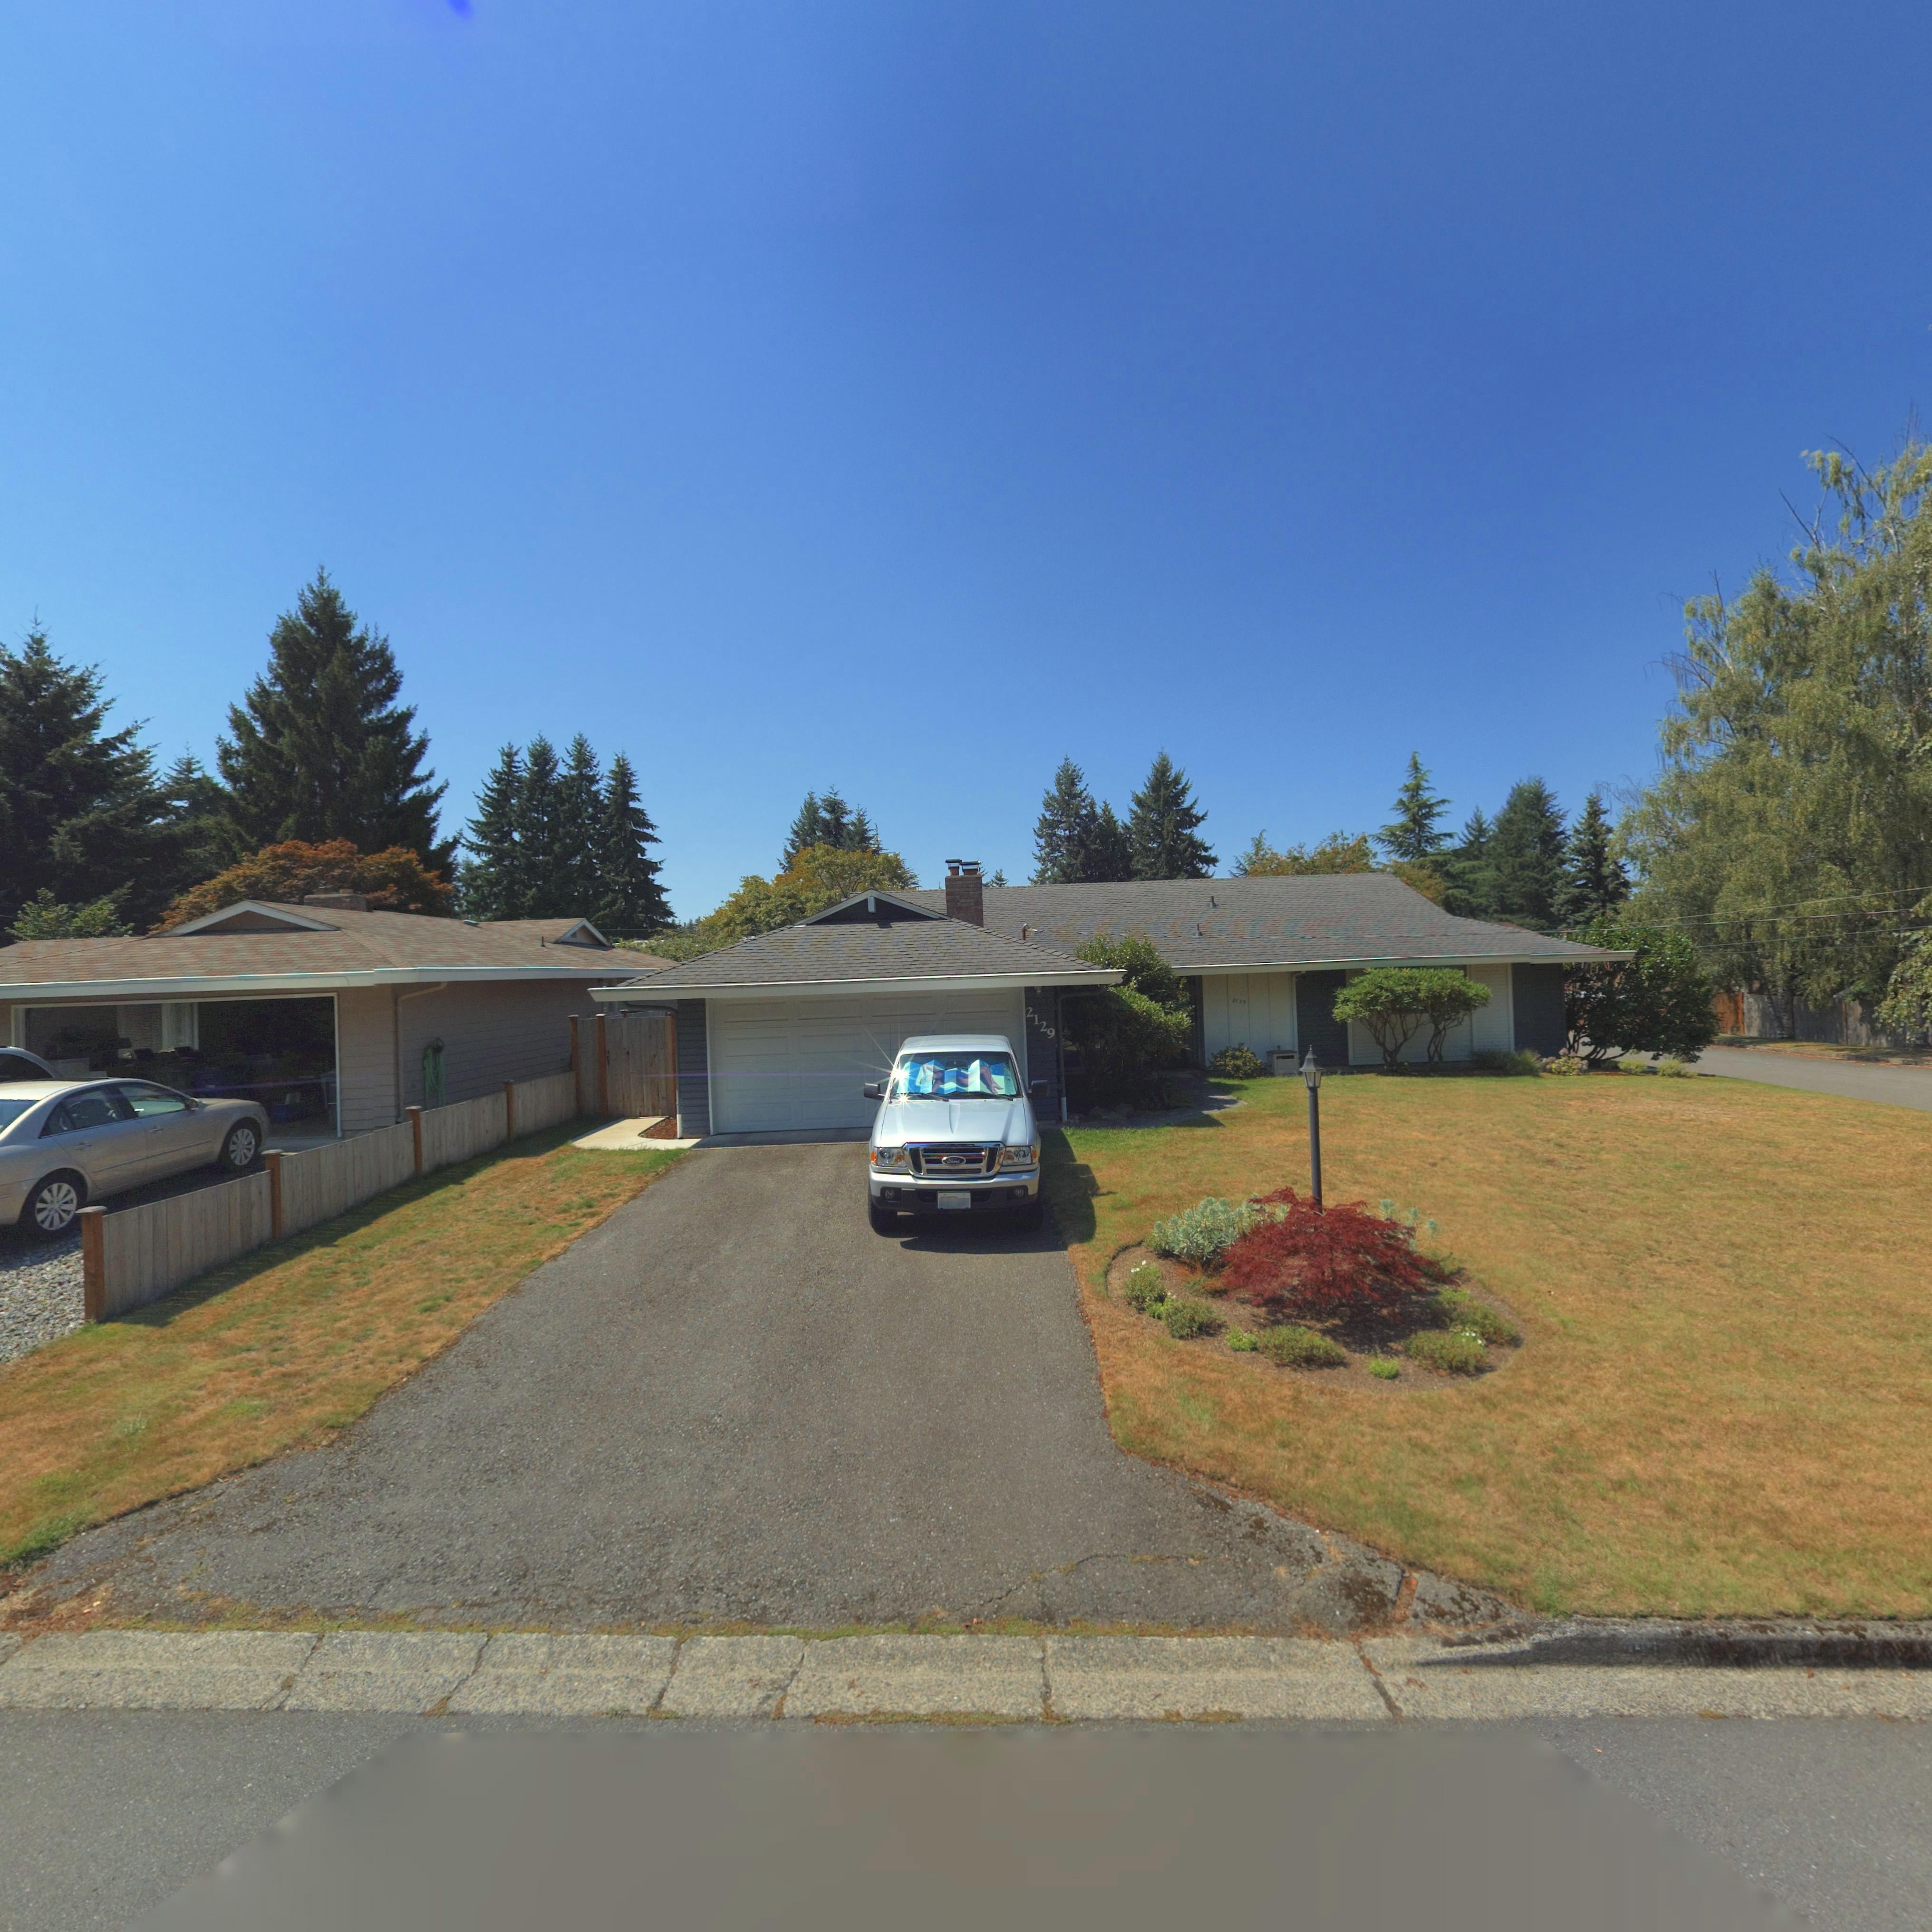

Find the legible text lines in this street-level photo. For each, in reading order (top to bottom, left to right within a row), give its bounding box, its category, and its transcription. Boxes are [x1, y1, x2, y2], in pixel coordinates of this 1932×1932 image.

[1232, 997, 1246, 1005] StreetNumber: 212*
[1026, 1006, 1056, 1039] StreetNumber: 2129